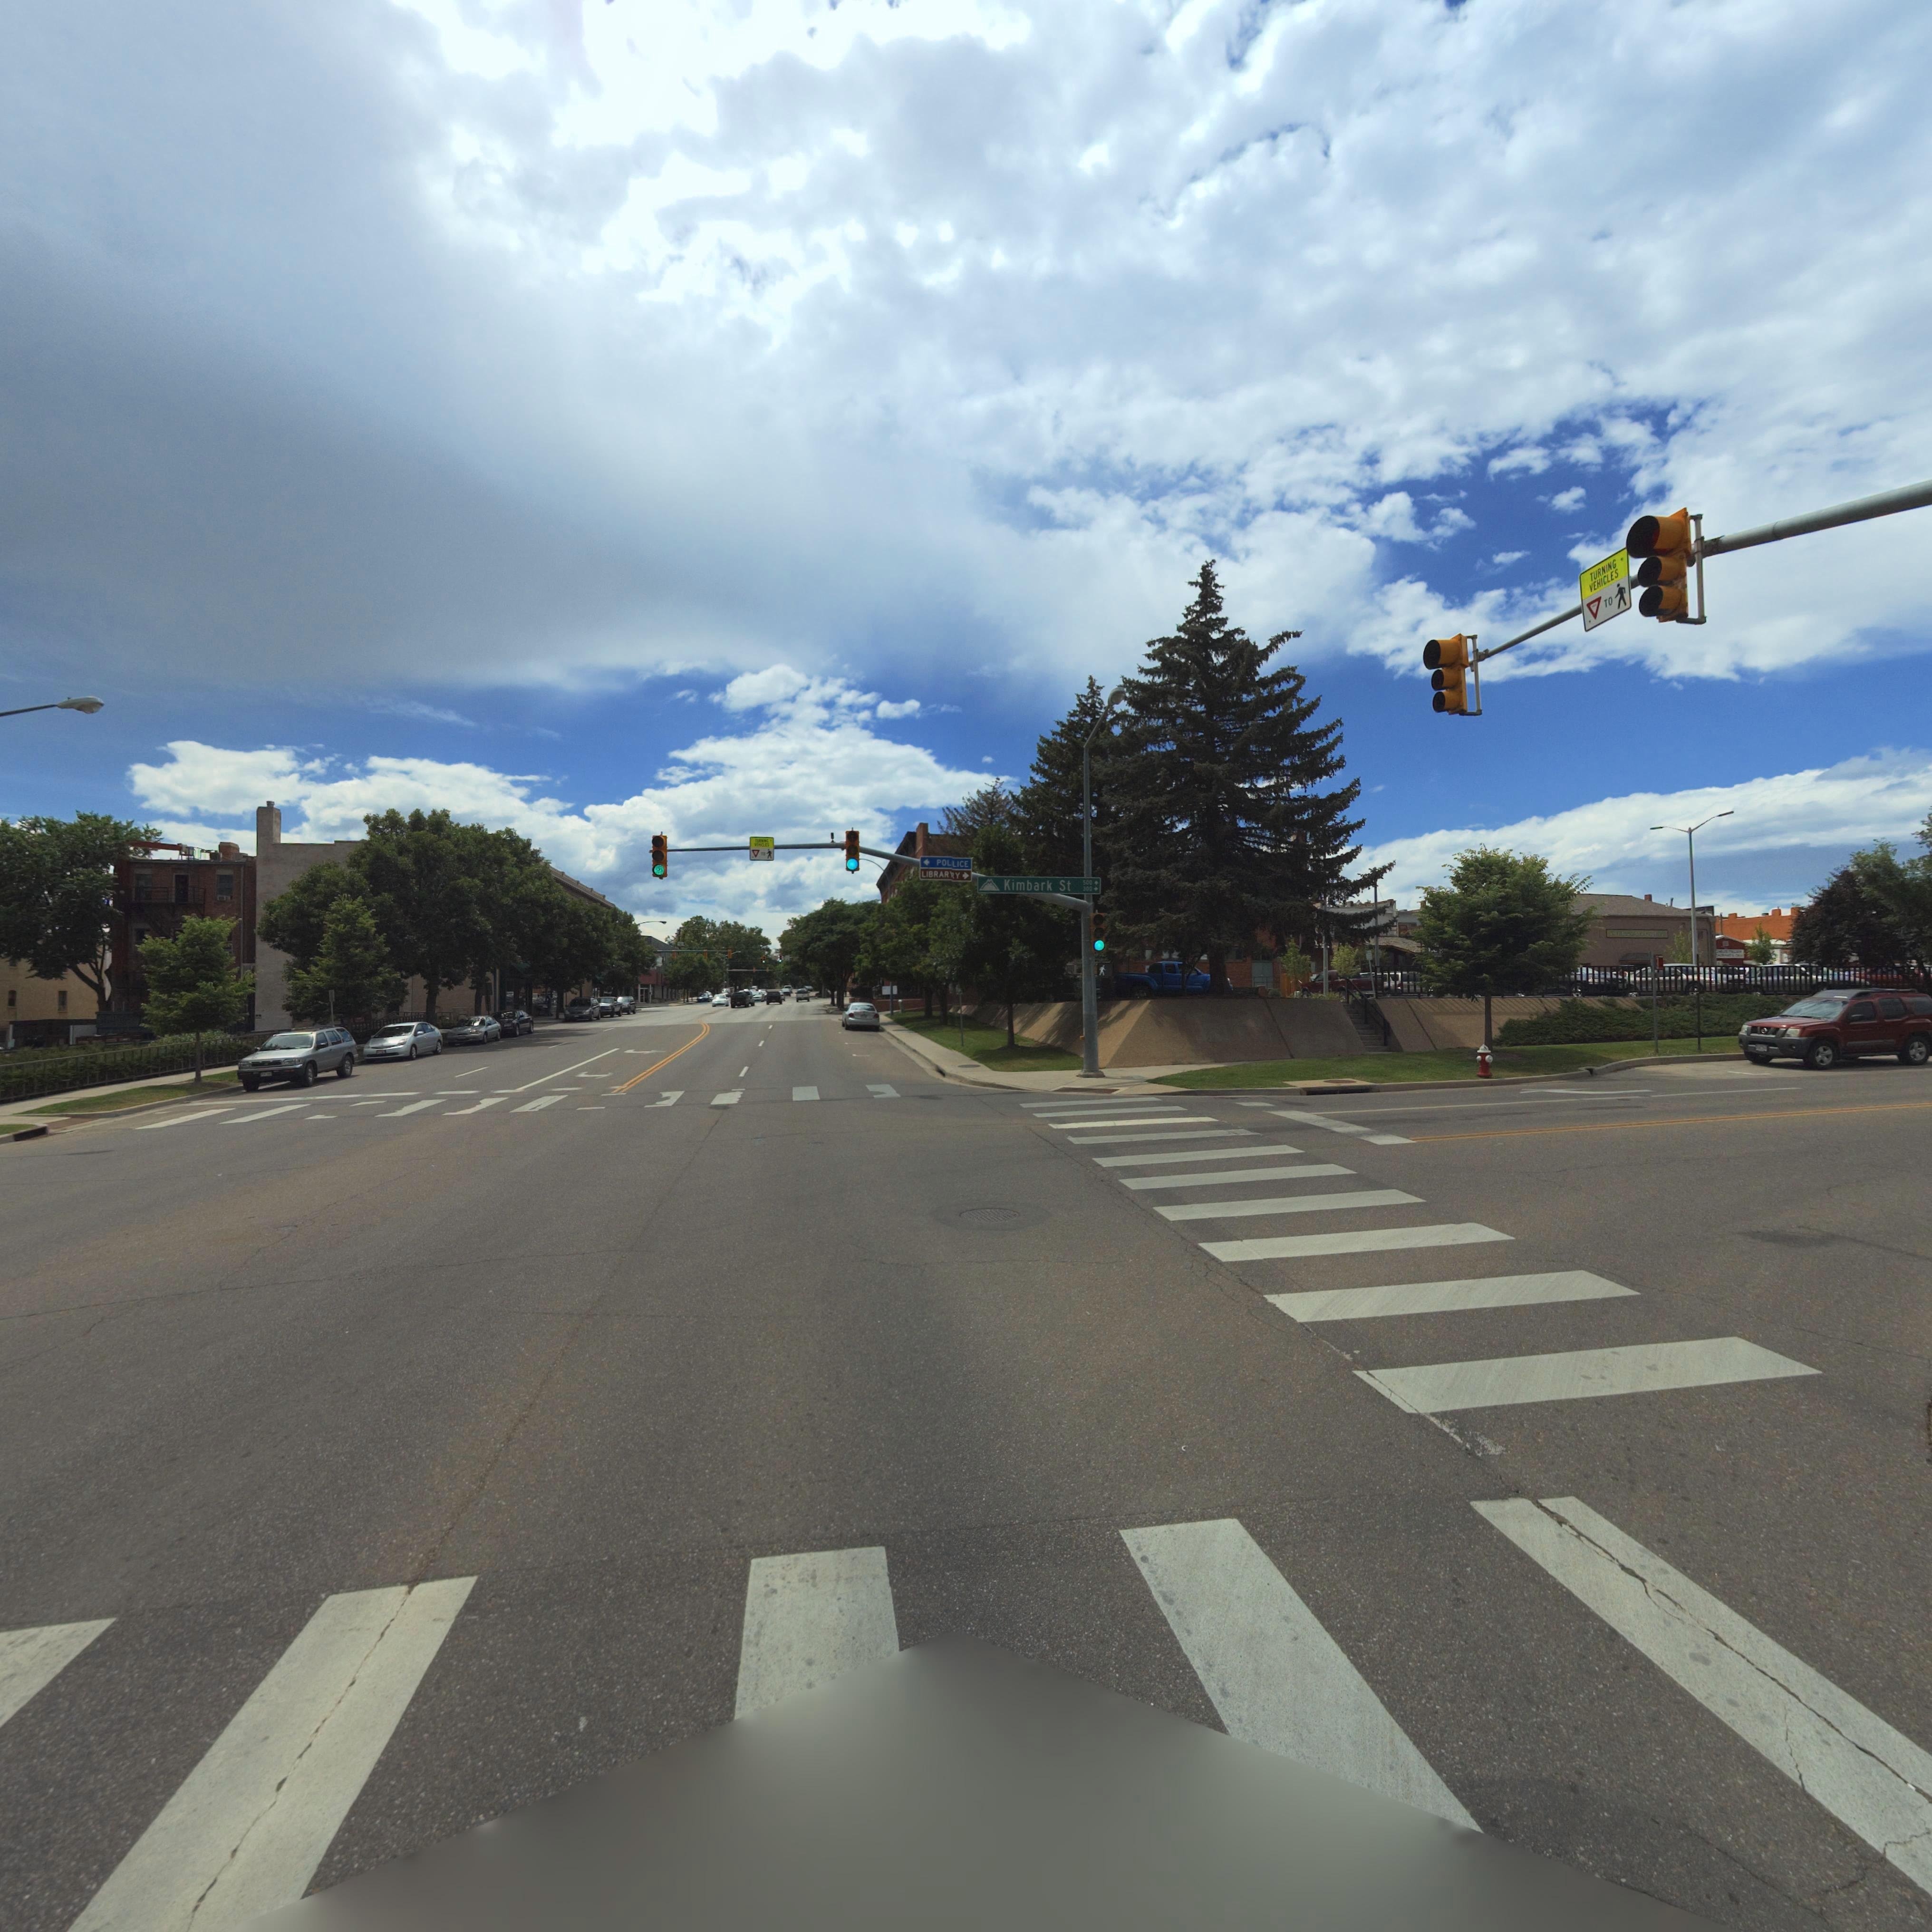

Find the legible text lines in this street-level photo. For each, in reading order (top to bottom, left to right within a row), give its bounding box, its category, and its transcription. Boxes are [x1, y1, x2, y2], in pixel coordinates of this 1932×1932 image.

[1082, 879, 1092, 885] StreetNumberRange: 500
[1004, 879, 1071, 891] StreetName: Kimbark St
[1082, 886, 1099, 891] StreetNumberRange: 300 ->